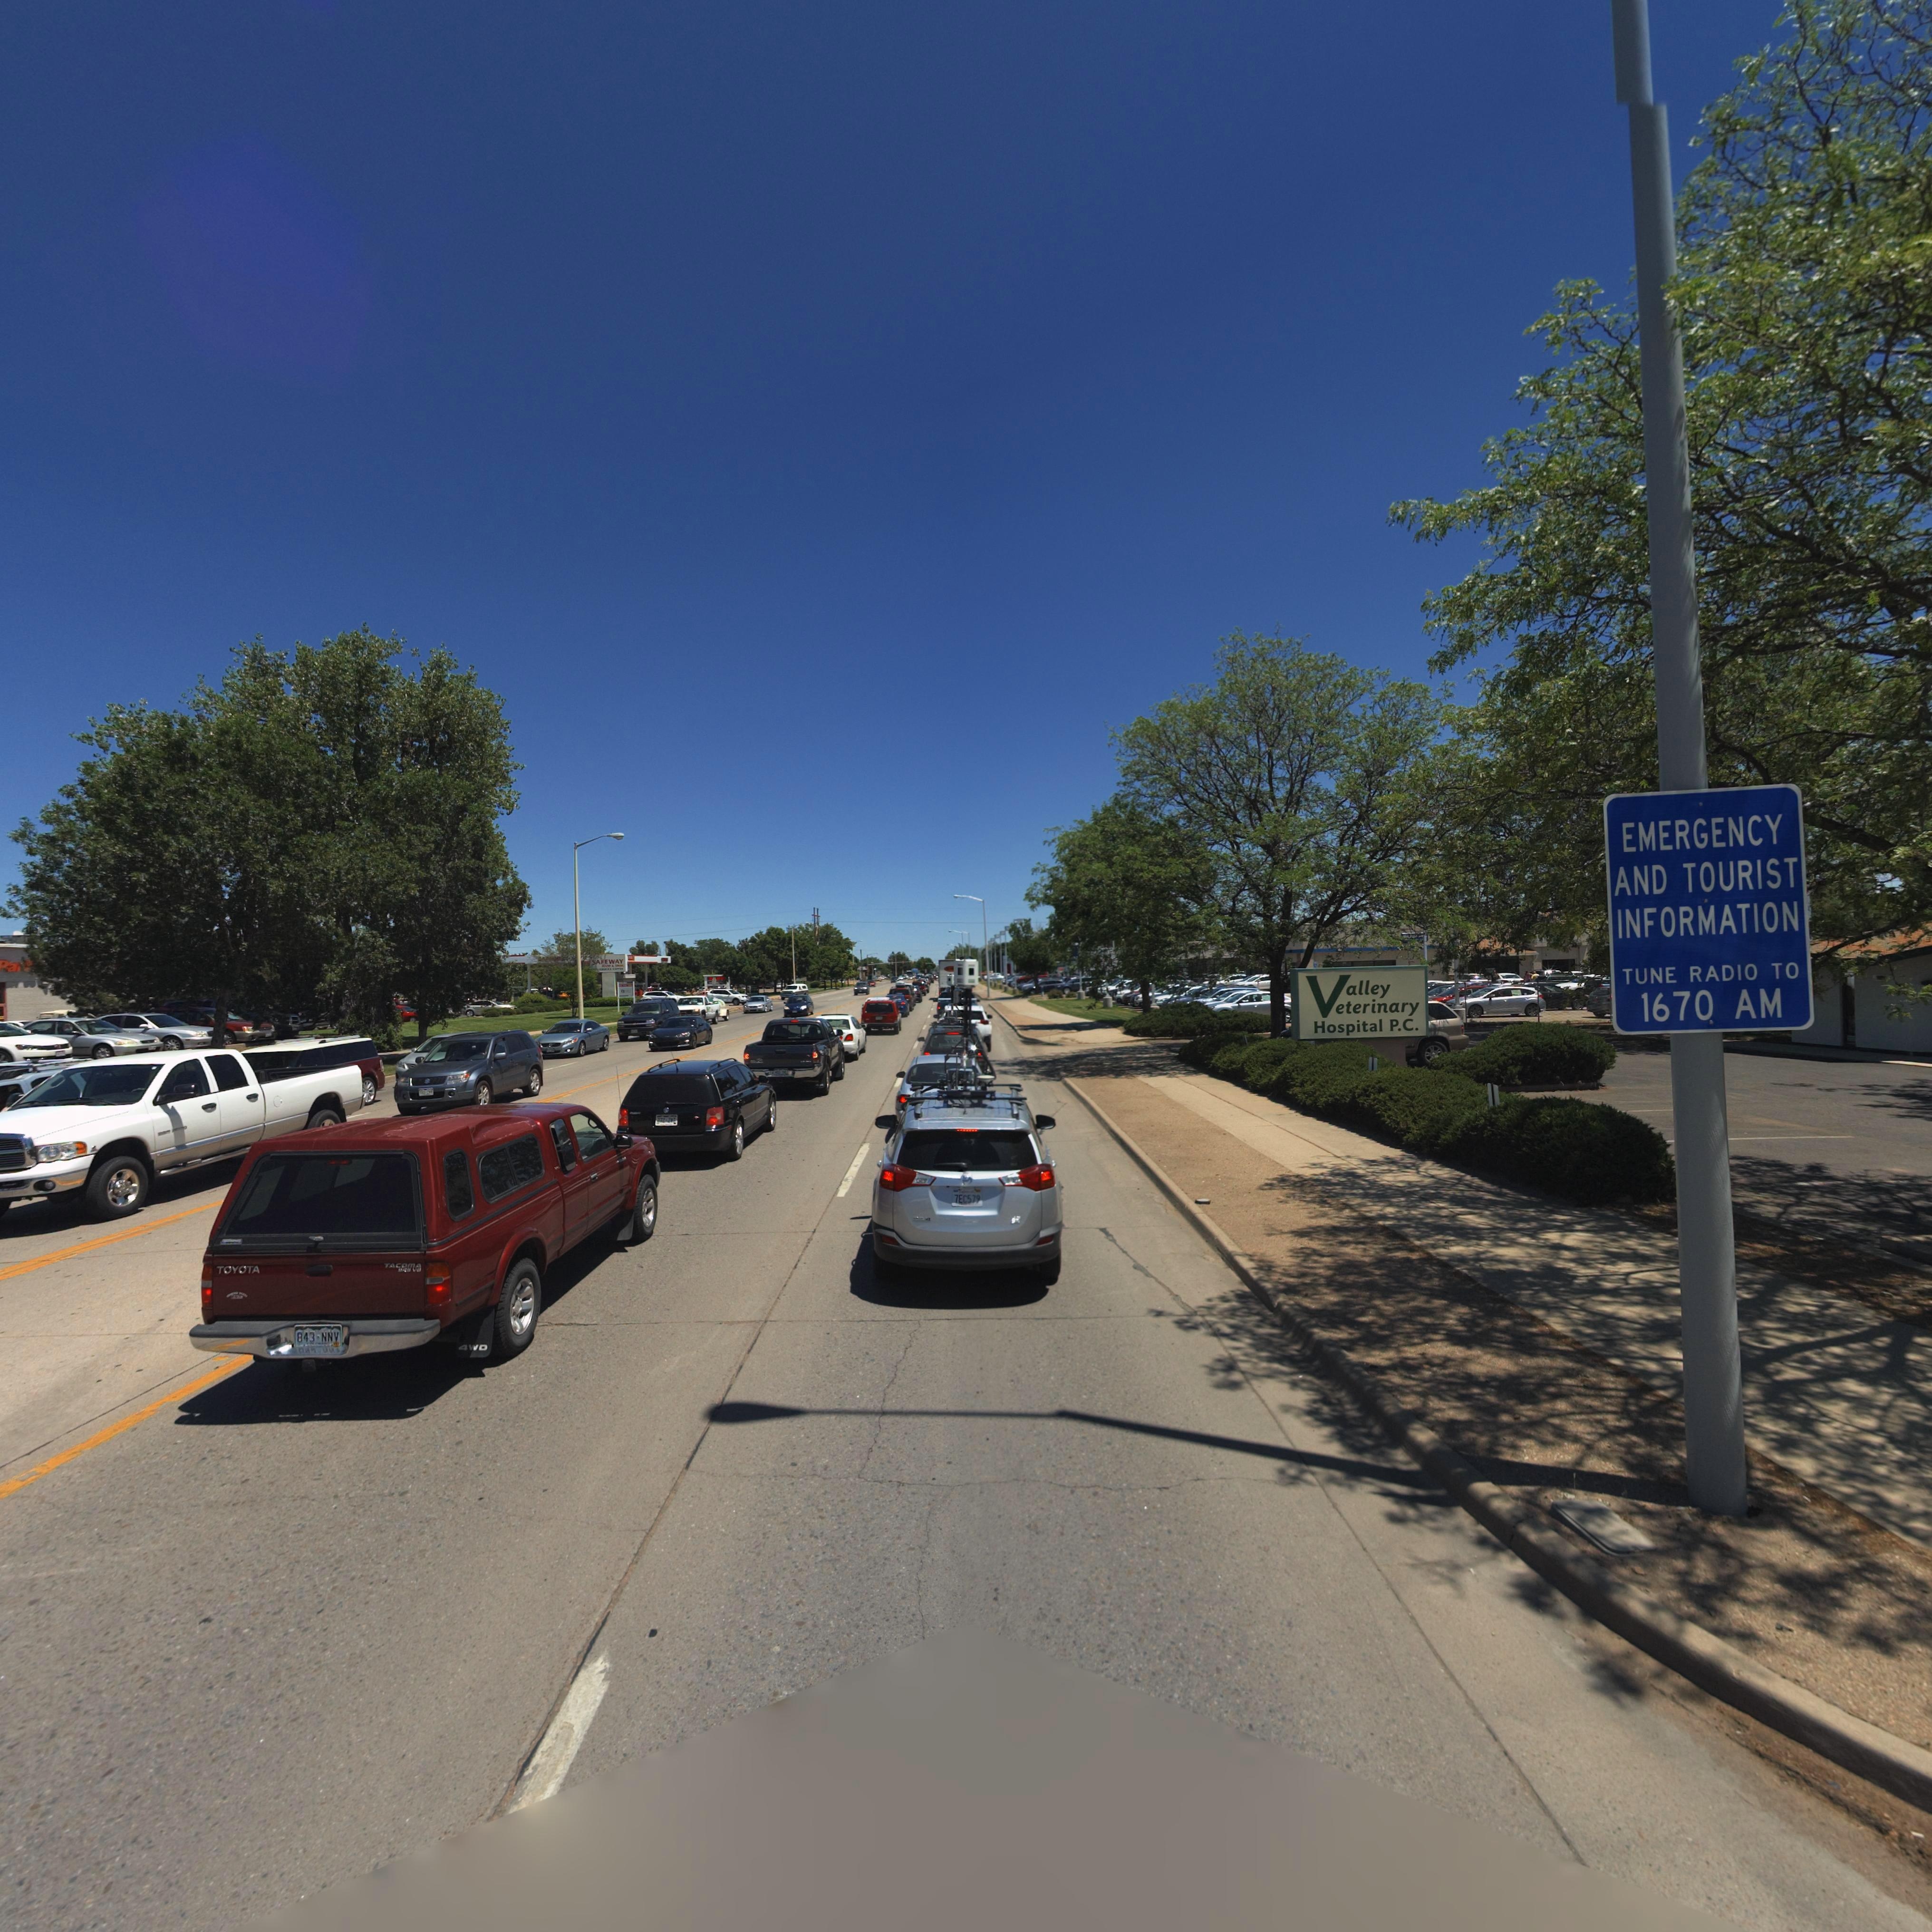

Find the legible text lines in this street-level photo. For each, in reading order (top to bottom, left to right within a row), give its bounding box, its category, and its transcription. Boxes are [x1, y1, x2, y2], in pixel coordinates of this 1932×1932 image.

[5, 961, 20, 972] BusinessName: a
[591, 958, 624, 965] BusinessName: SAFEWAY
[1305, 974, 1352, 1019] BusinessName: V
[1345, 979, 1391, 999] BusinessName: alley
[1335, 998, 1420, 1016] BusinessName: eterinary
[1314, 1018, 1419, 1036] BusinessName: Hospital P.C.